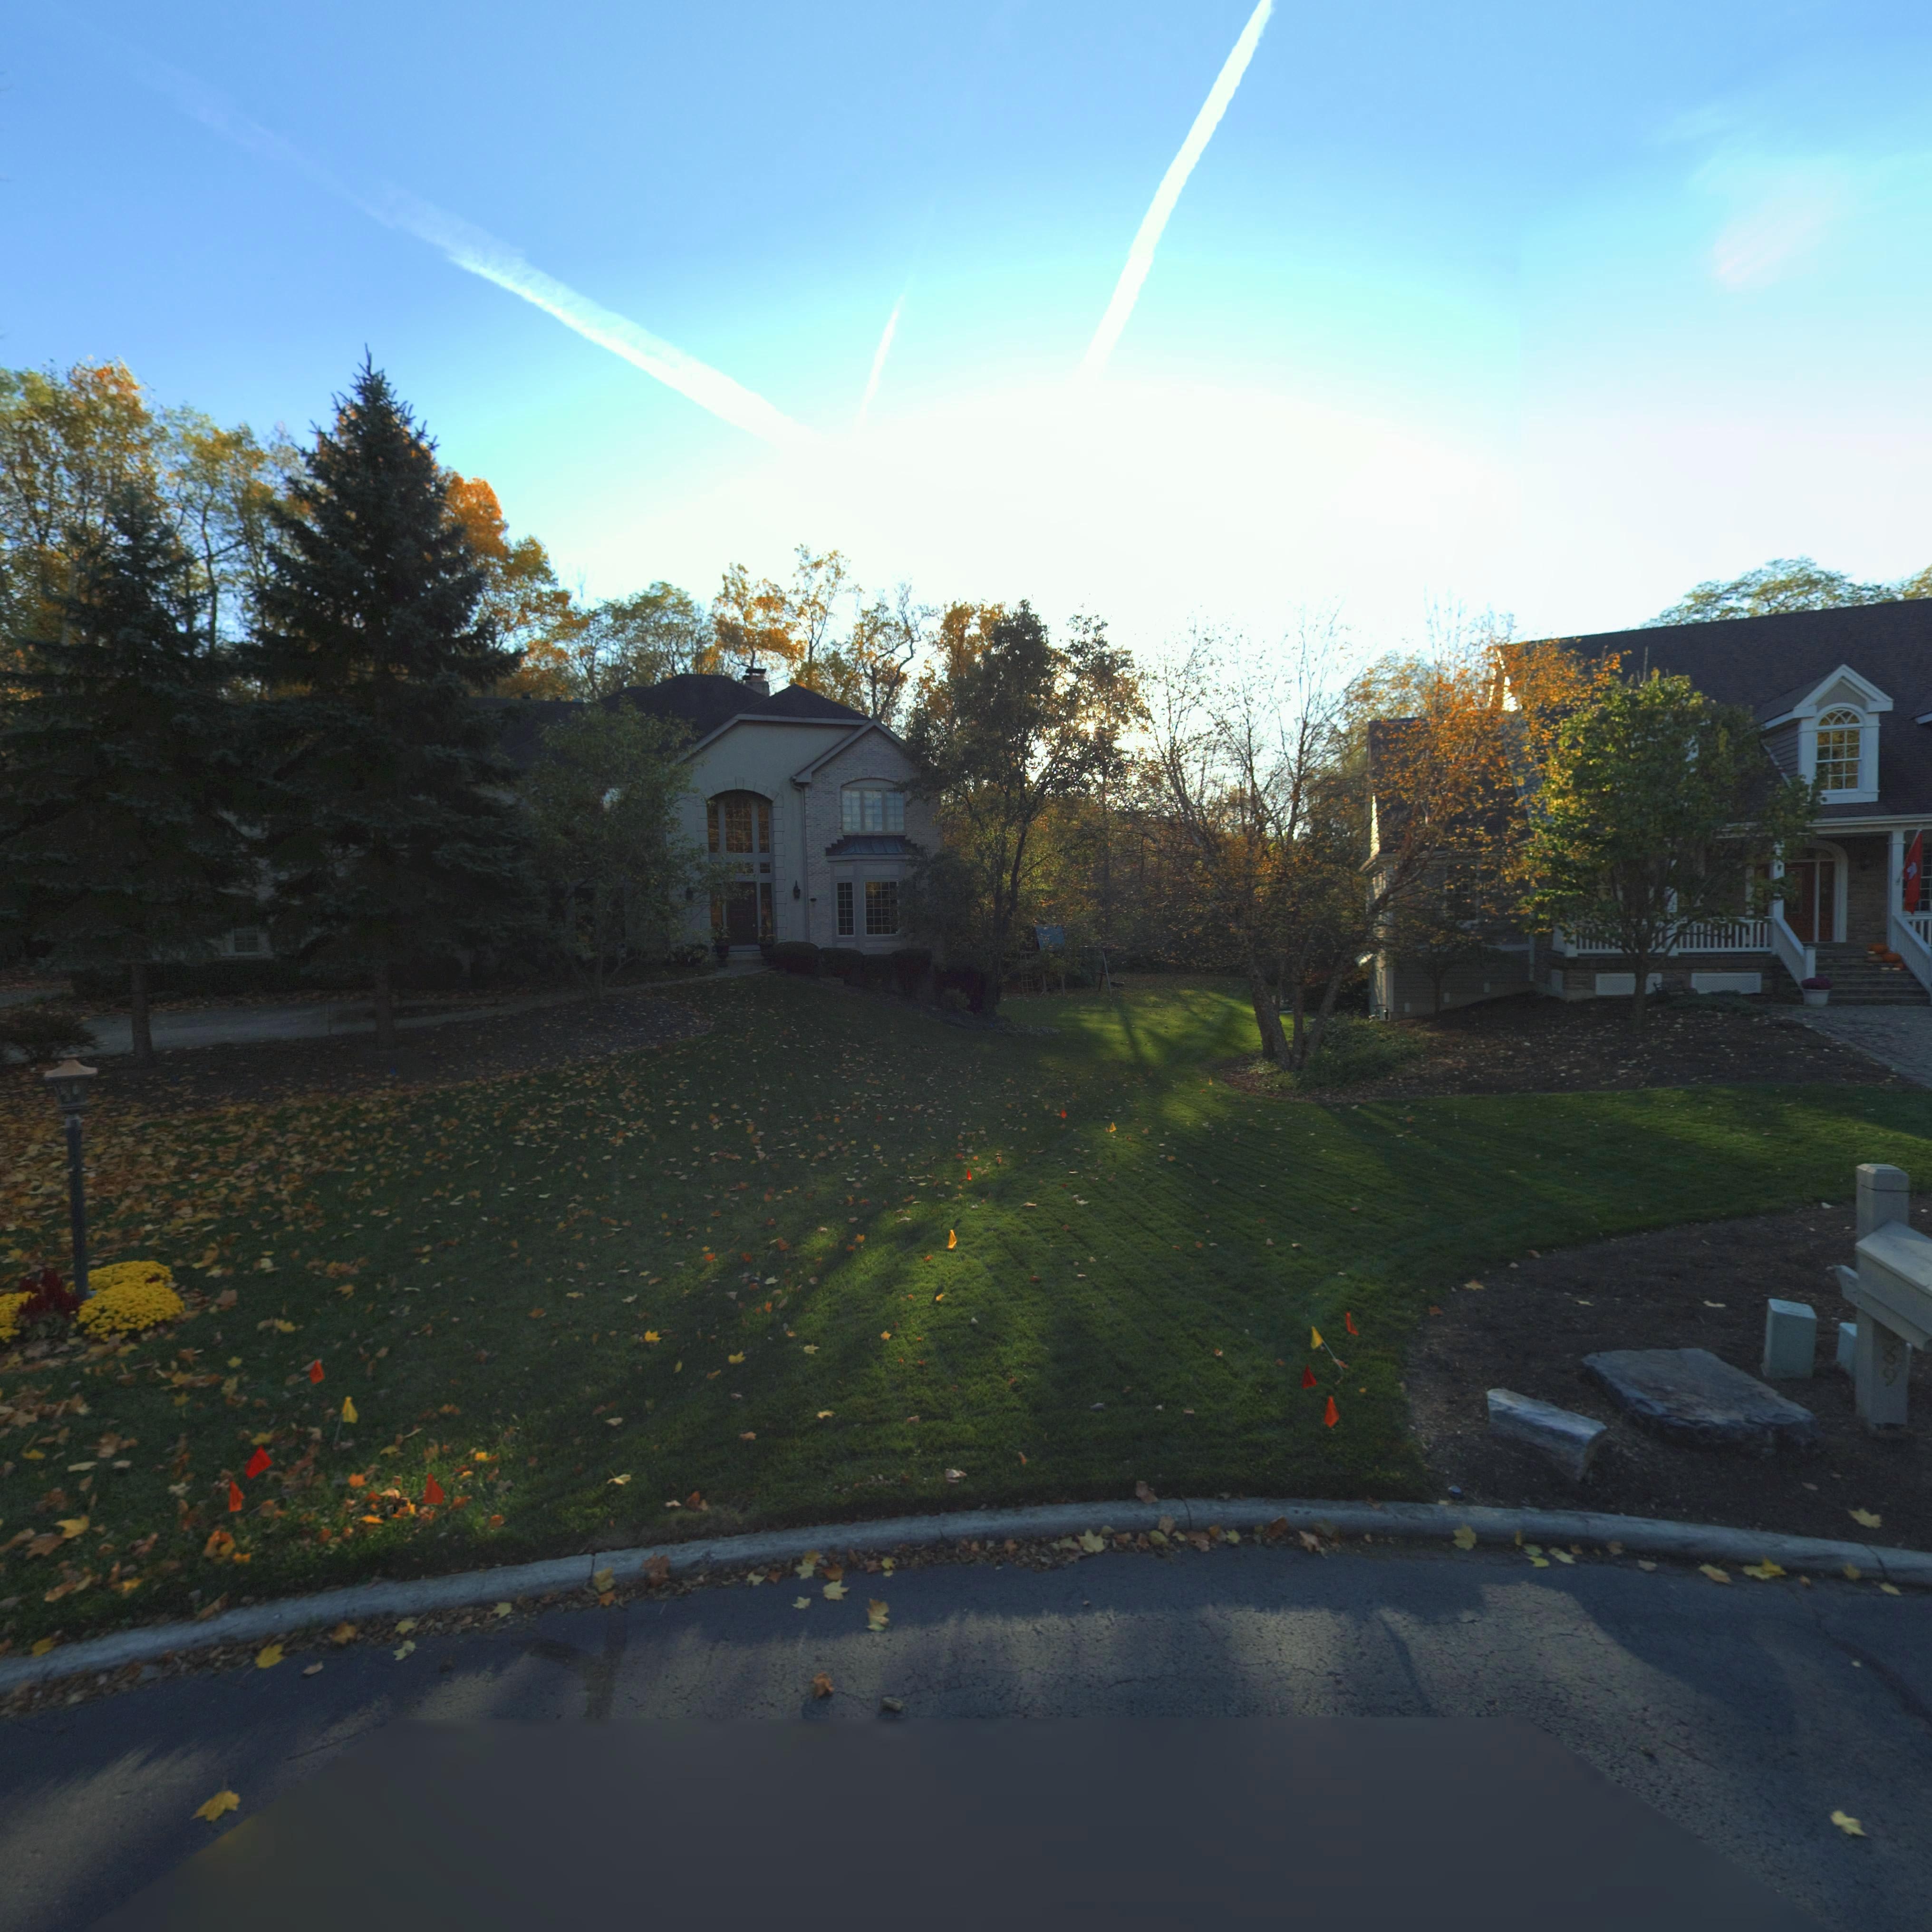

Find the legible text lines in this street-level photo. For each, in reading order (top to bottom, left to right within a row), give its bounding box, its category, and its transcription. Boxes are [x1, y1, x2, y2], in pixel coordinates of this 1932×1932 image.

[1881, 1341, 1898, 1388] StreetNumber: 89